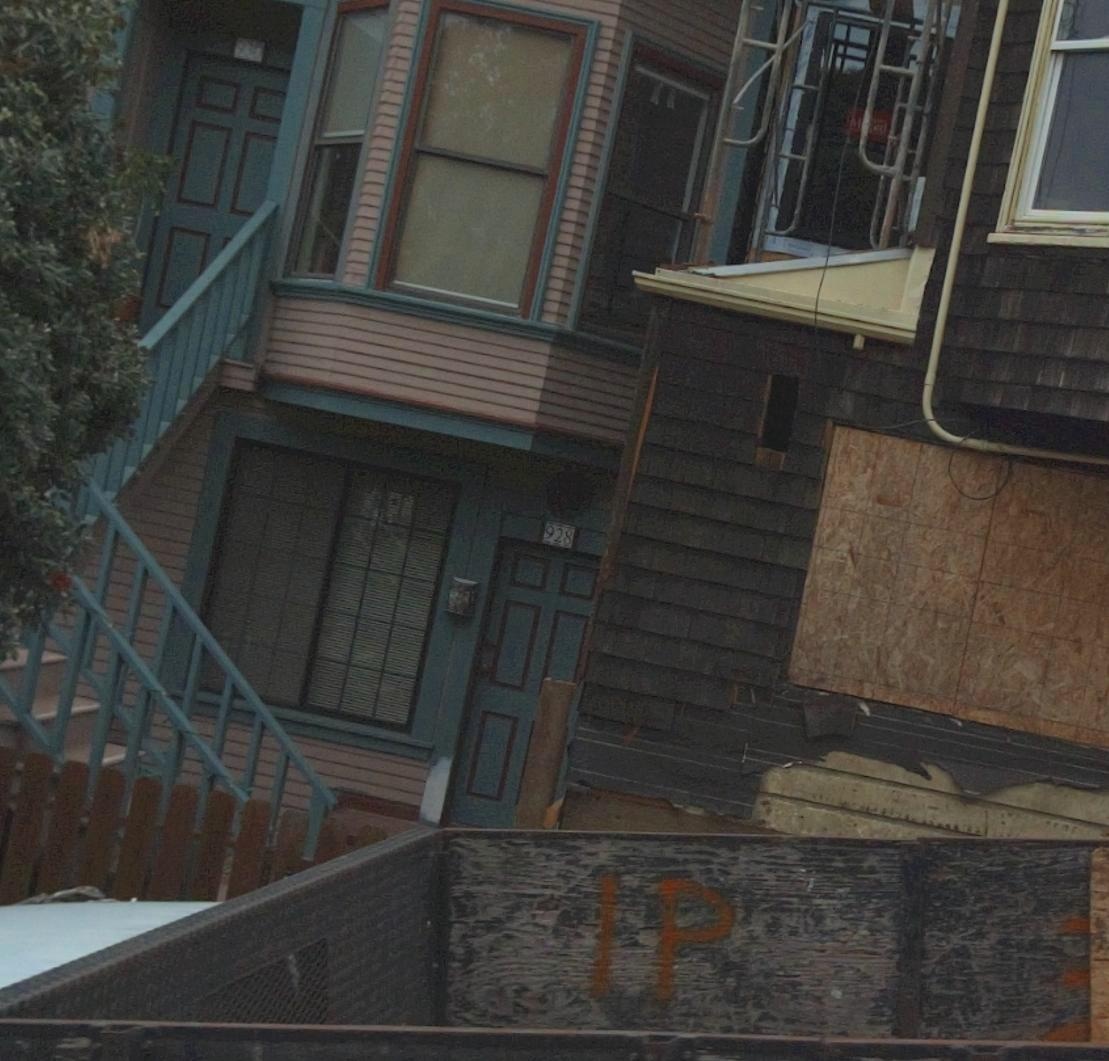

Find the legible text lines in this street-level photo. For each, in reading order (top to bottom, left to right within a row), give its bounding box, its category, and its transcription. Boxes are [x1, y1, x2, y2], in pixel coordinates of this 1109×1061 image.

[542, 524, 576, 547] StreetNumber: 928
[584, 872, 742, 1006] None: IP